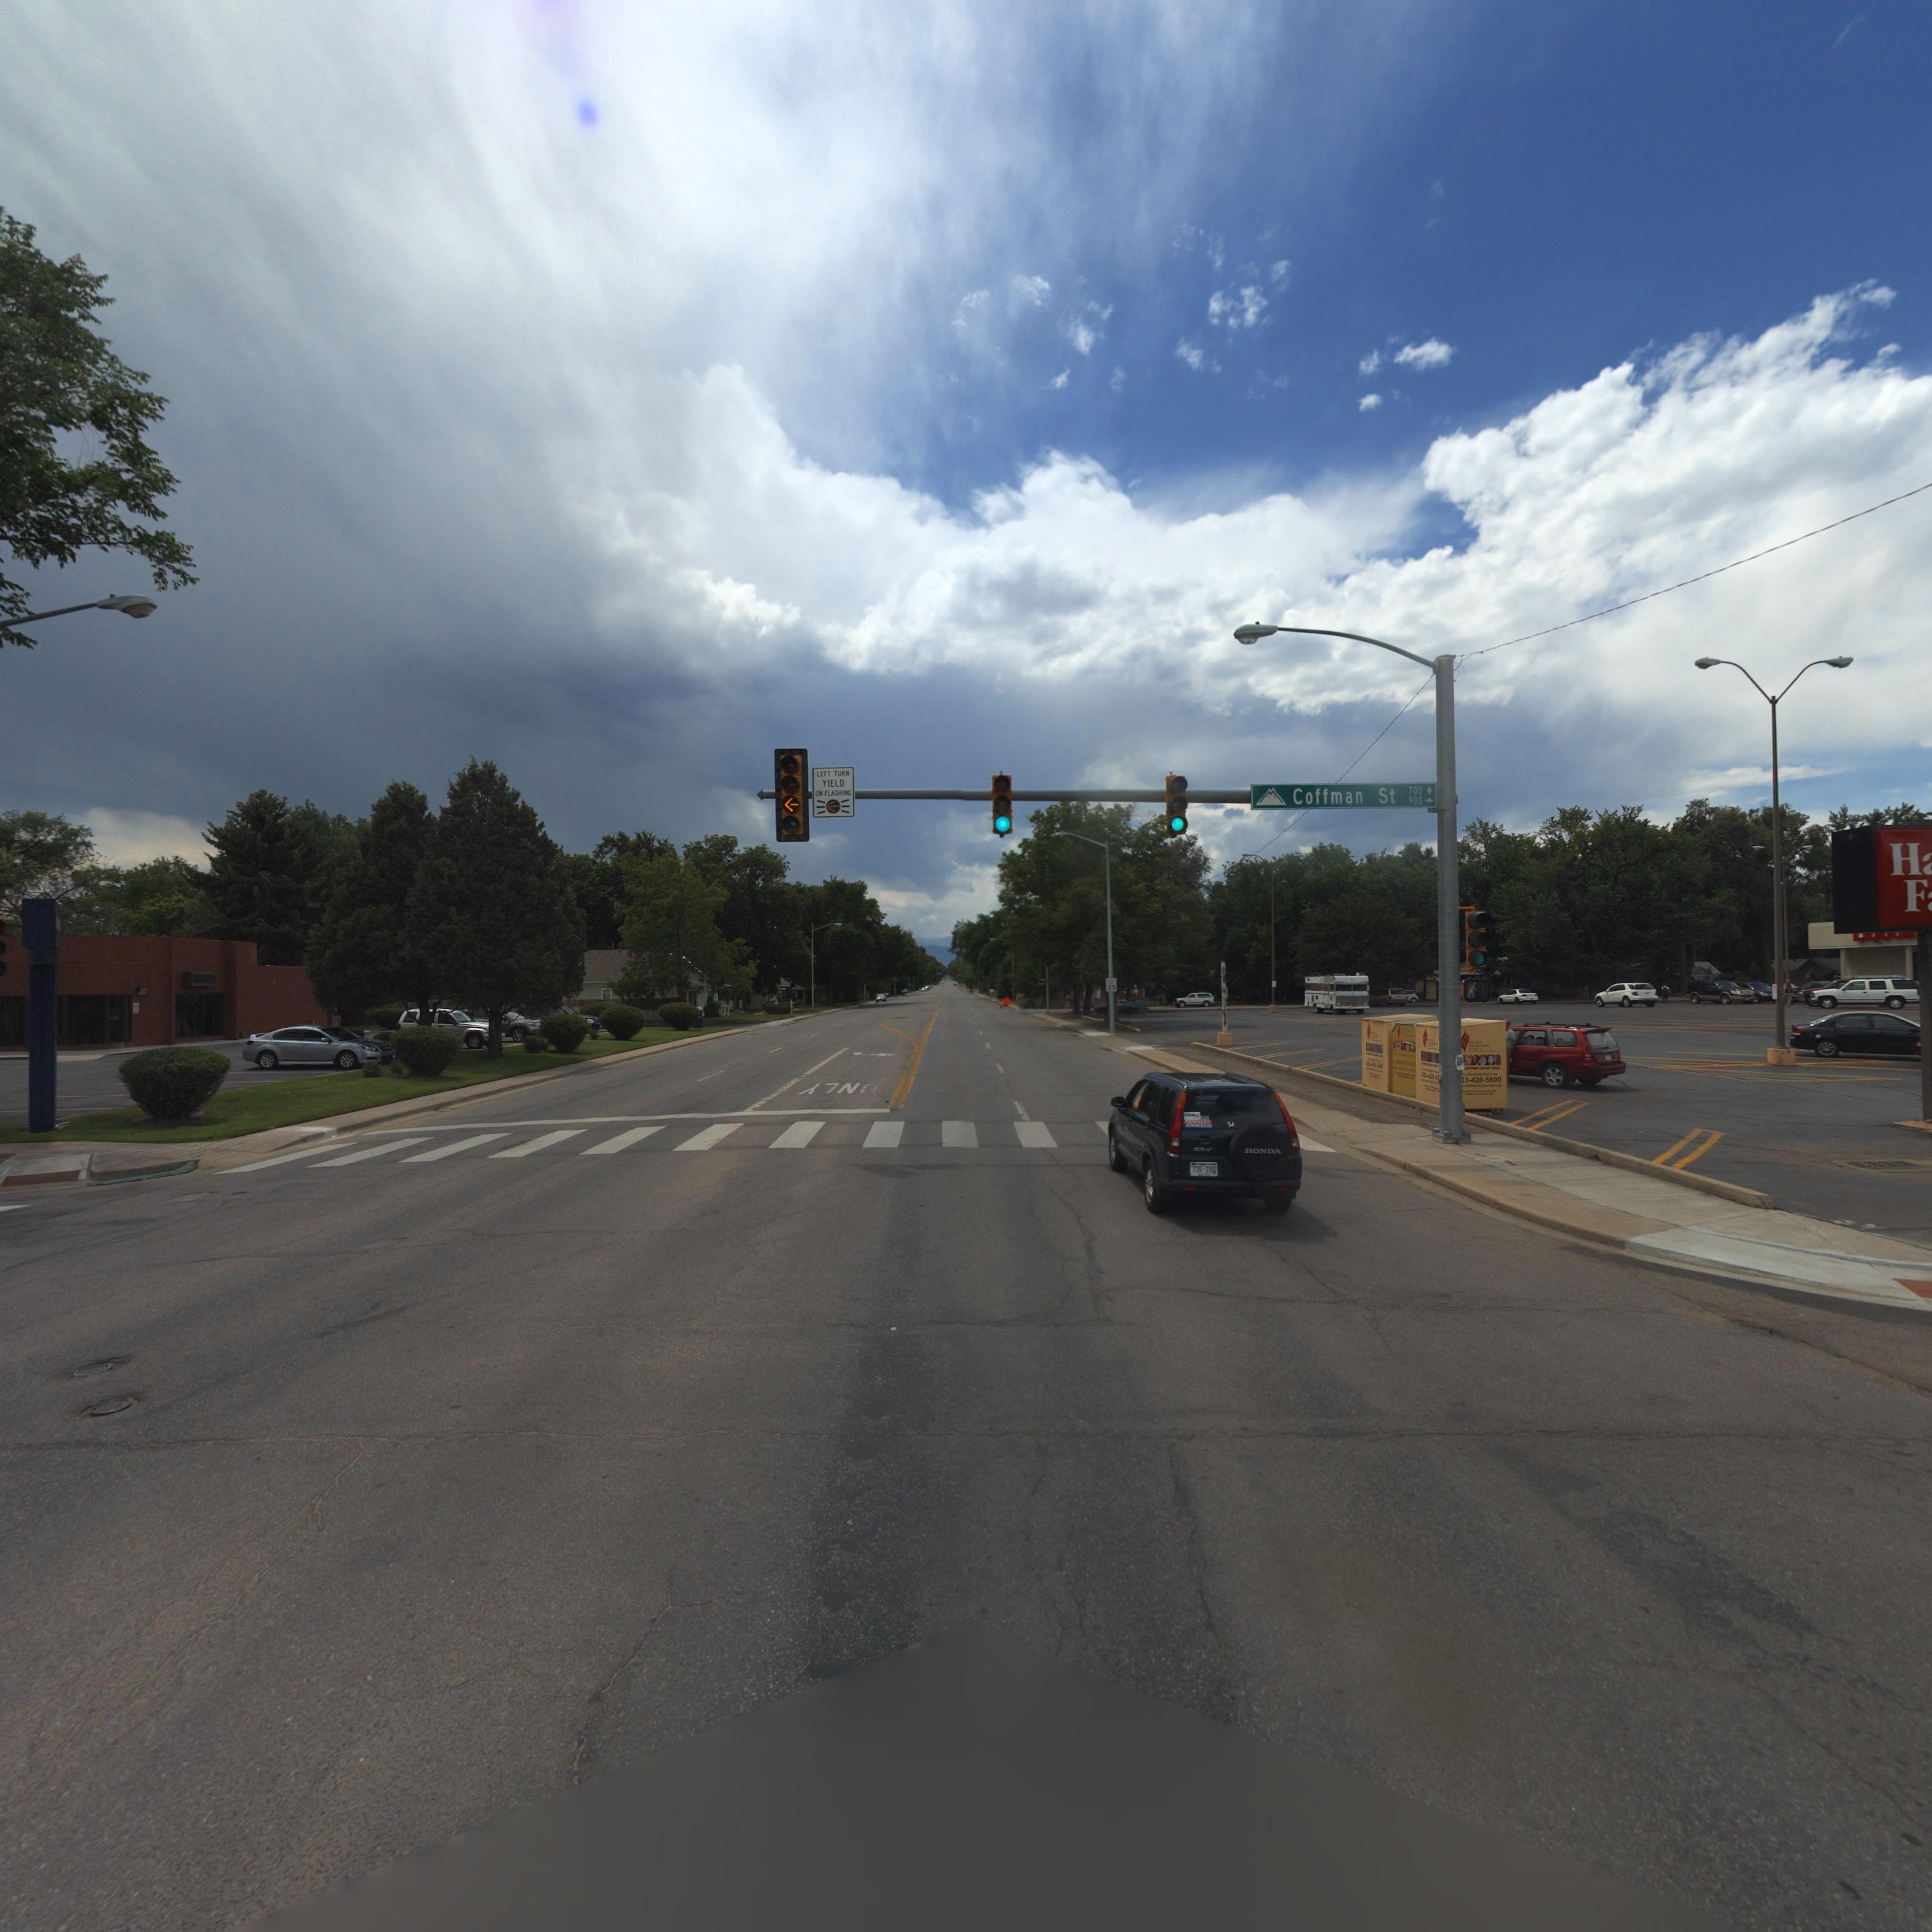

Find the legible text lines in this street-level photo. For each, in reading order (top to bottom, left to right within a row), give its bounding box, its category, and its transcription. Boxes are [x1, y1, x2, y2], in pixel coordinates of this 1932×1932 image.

[1407, 785, 1423, 795] StreetNumberRange: 700
[1293, 786, 1396, 805] StreetName: Coffman St
[1408, 795, 1434, 805] StreetNumberRange: 900->